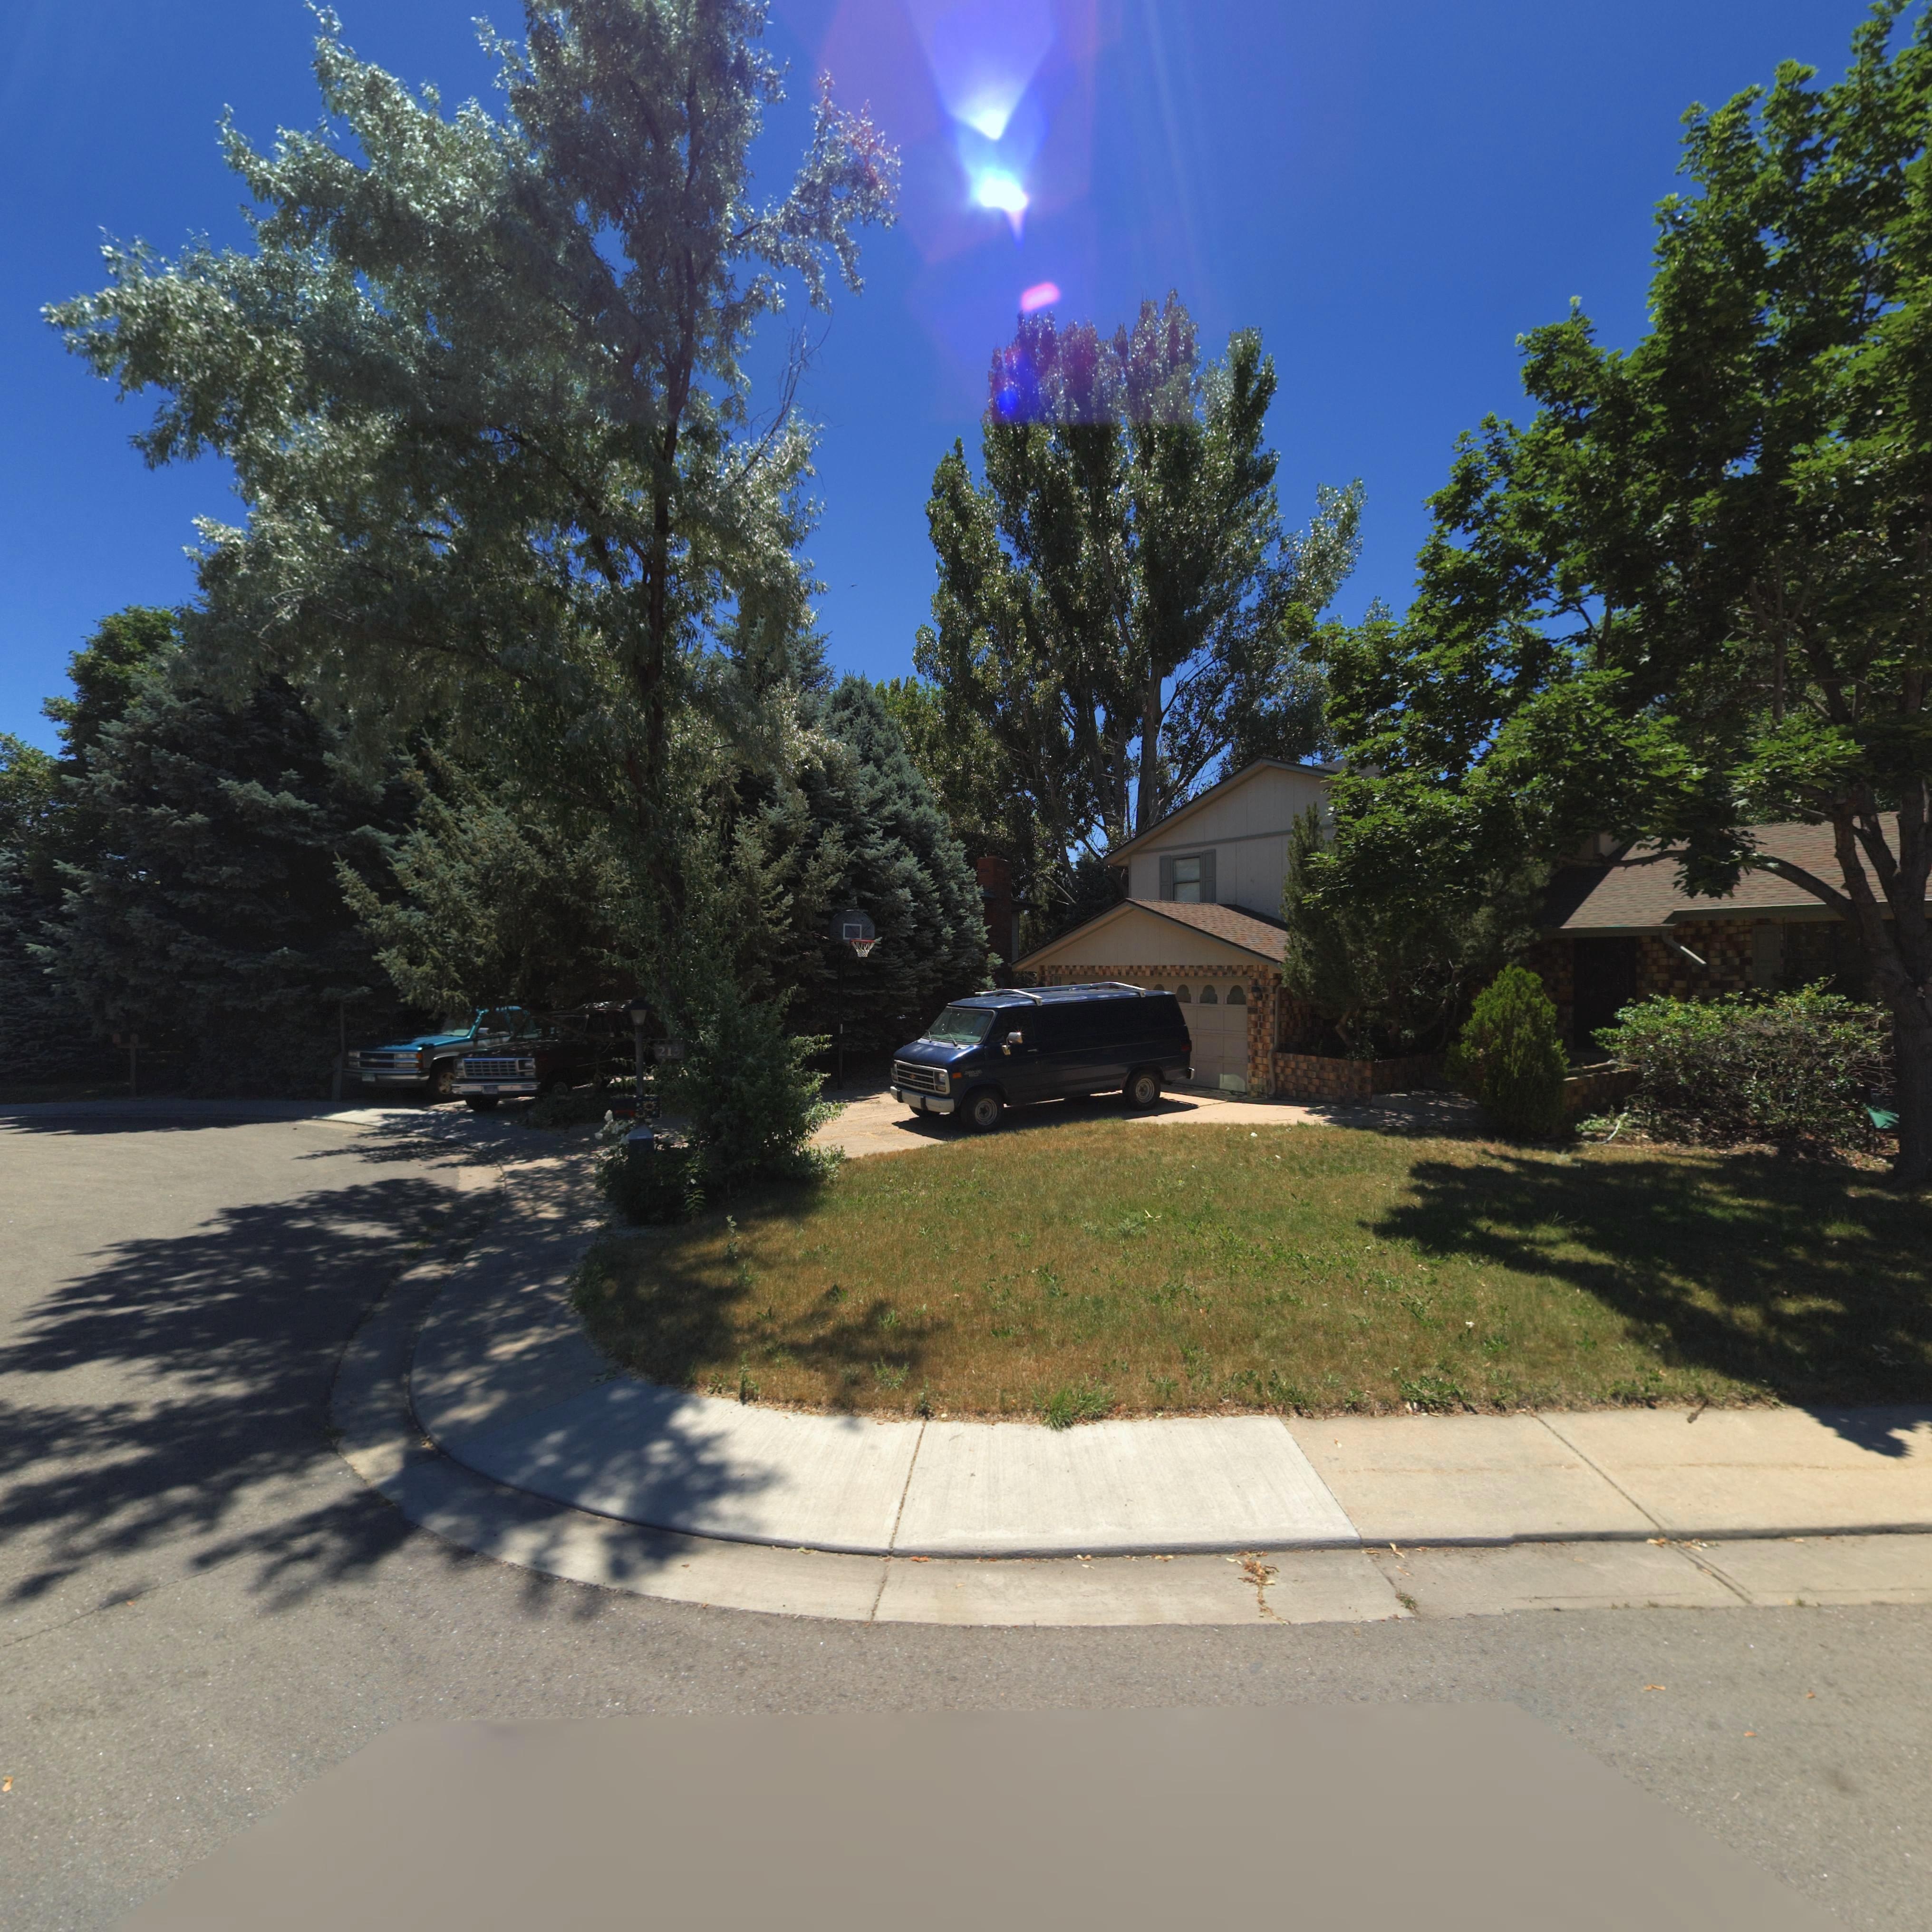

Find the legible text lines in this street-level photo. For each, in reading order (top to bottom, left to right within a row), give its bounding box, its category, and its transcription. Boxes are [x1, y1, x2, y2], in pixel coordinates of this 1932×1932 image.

[657, 1045, 682, 1057] StreetNumber: 213